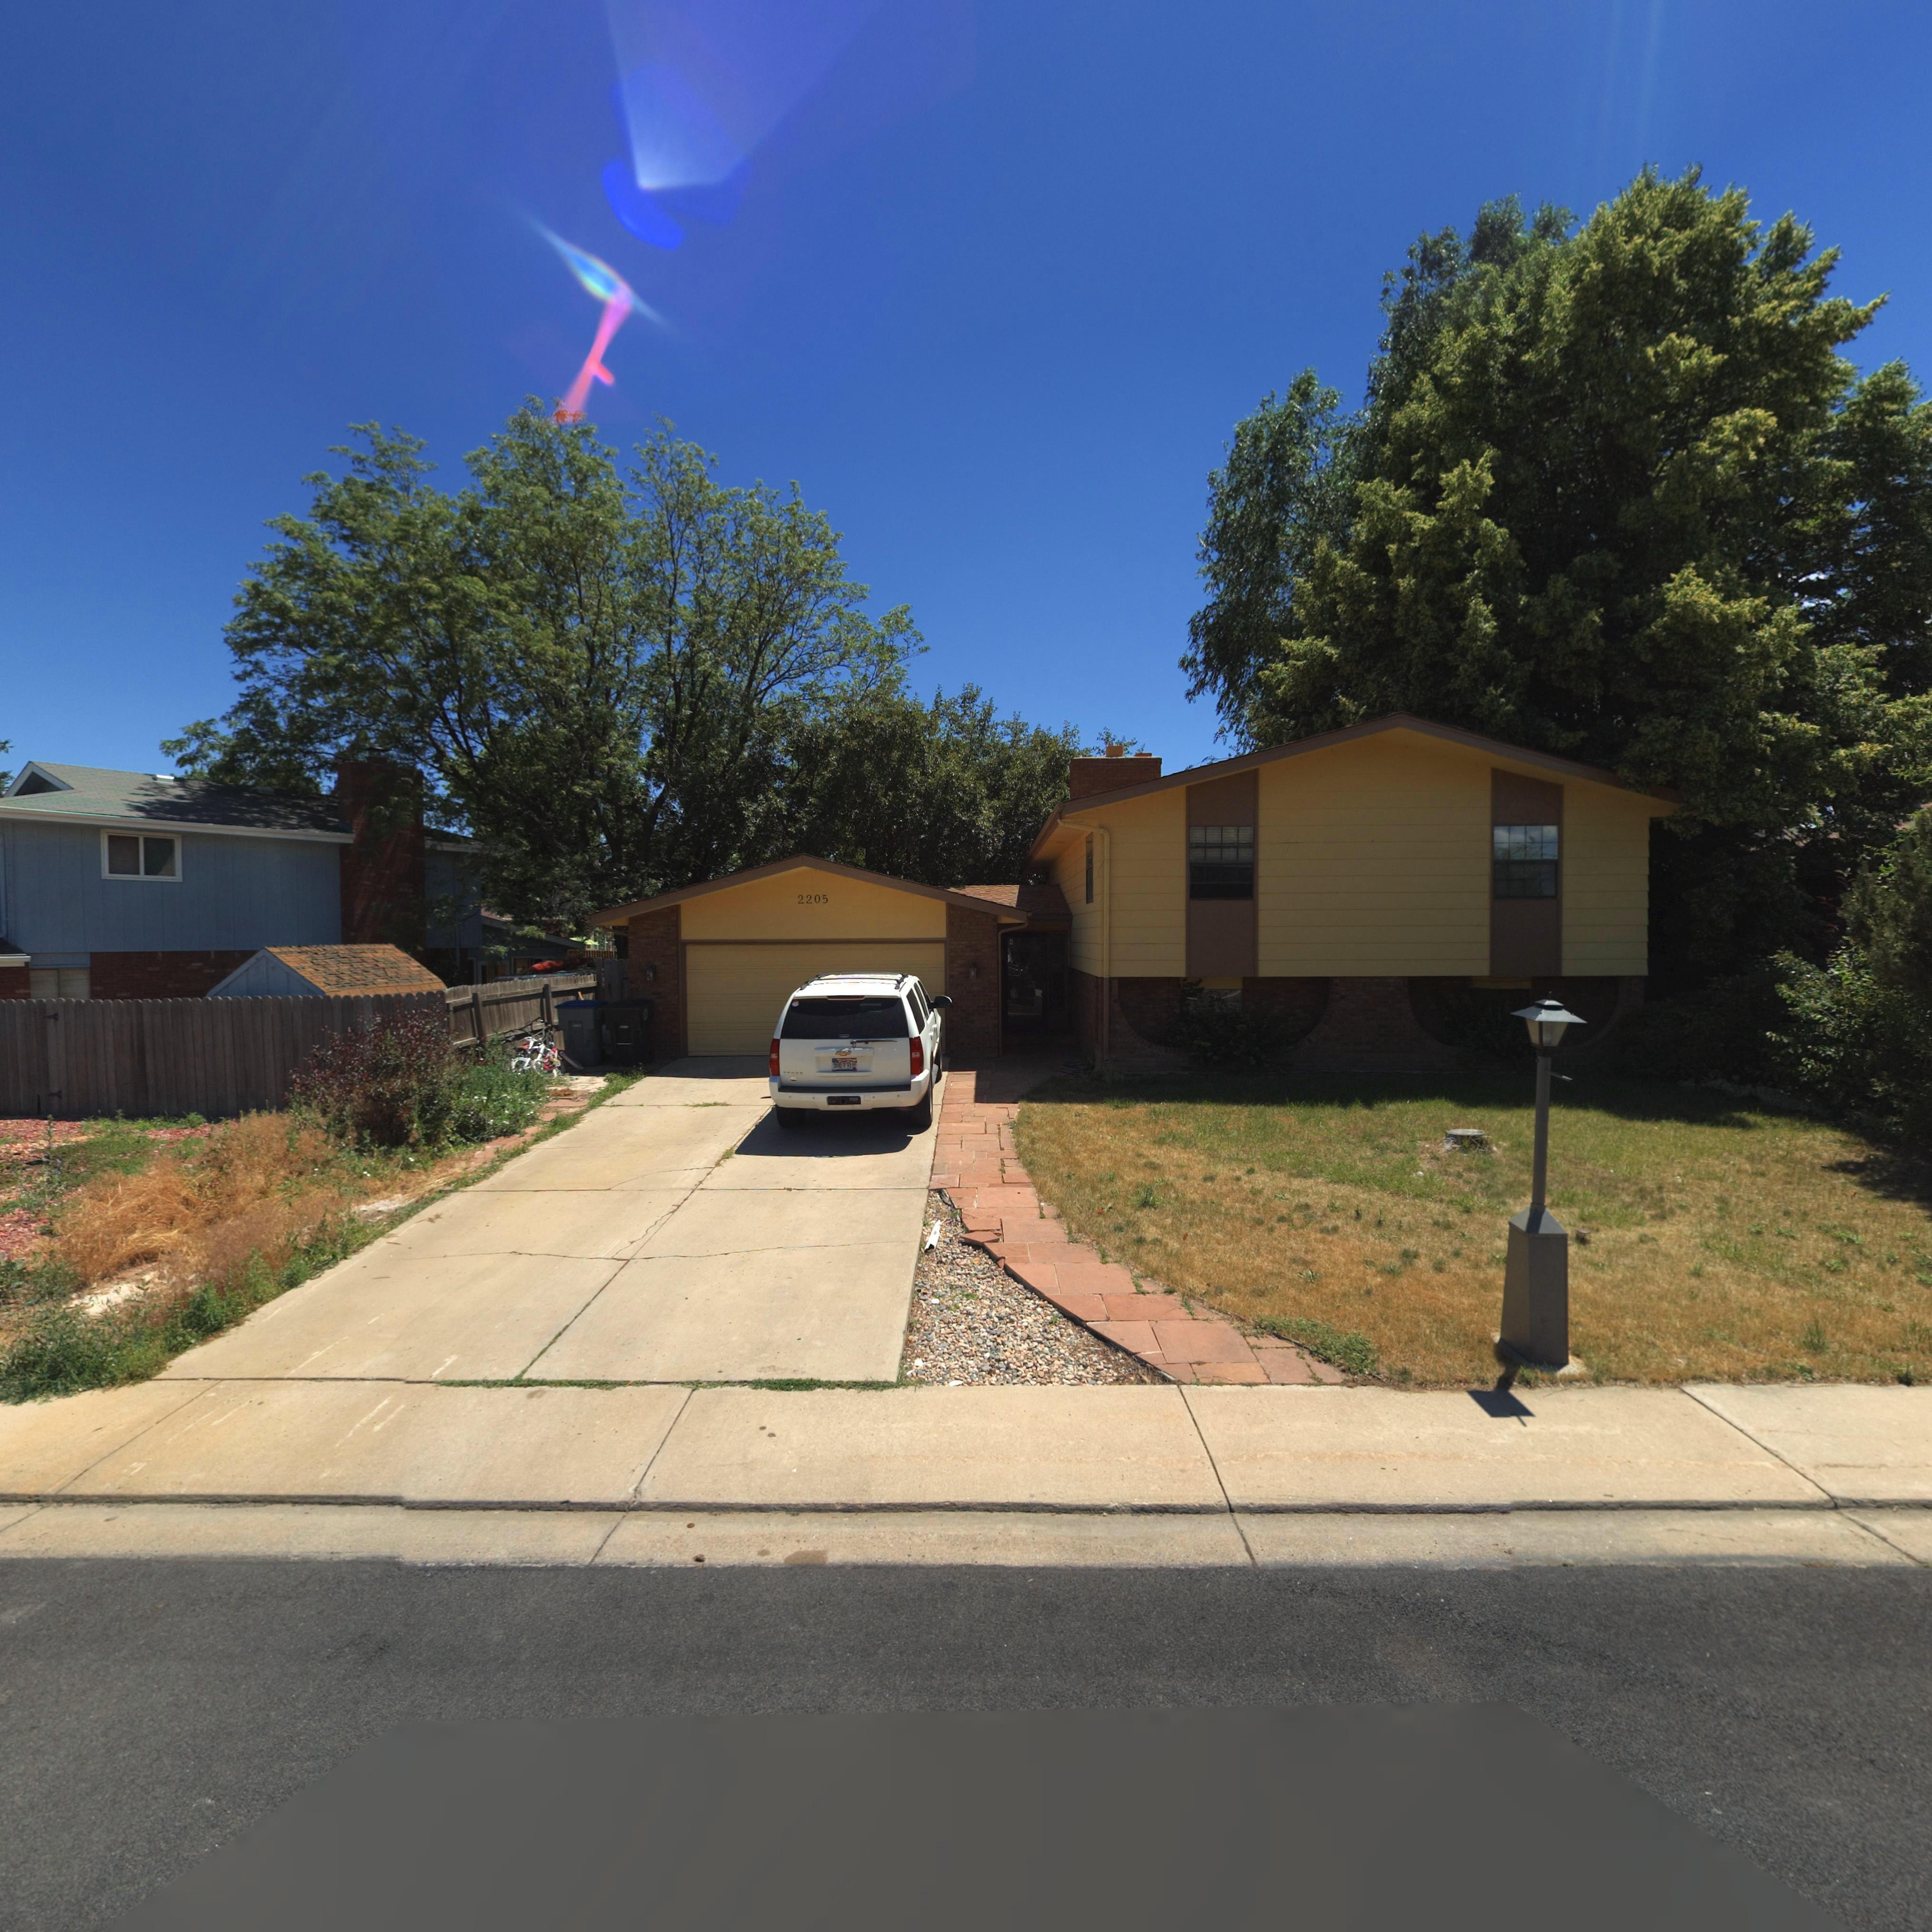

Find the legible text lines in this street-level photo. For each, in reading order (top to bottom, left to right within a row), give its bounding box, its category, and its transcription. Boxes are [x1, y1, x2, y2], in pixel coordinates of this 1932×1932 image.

[794, 892, 829, 904] StreetNumber: 2205